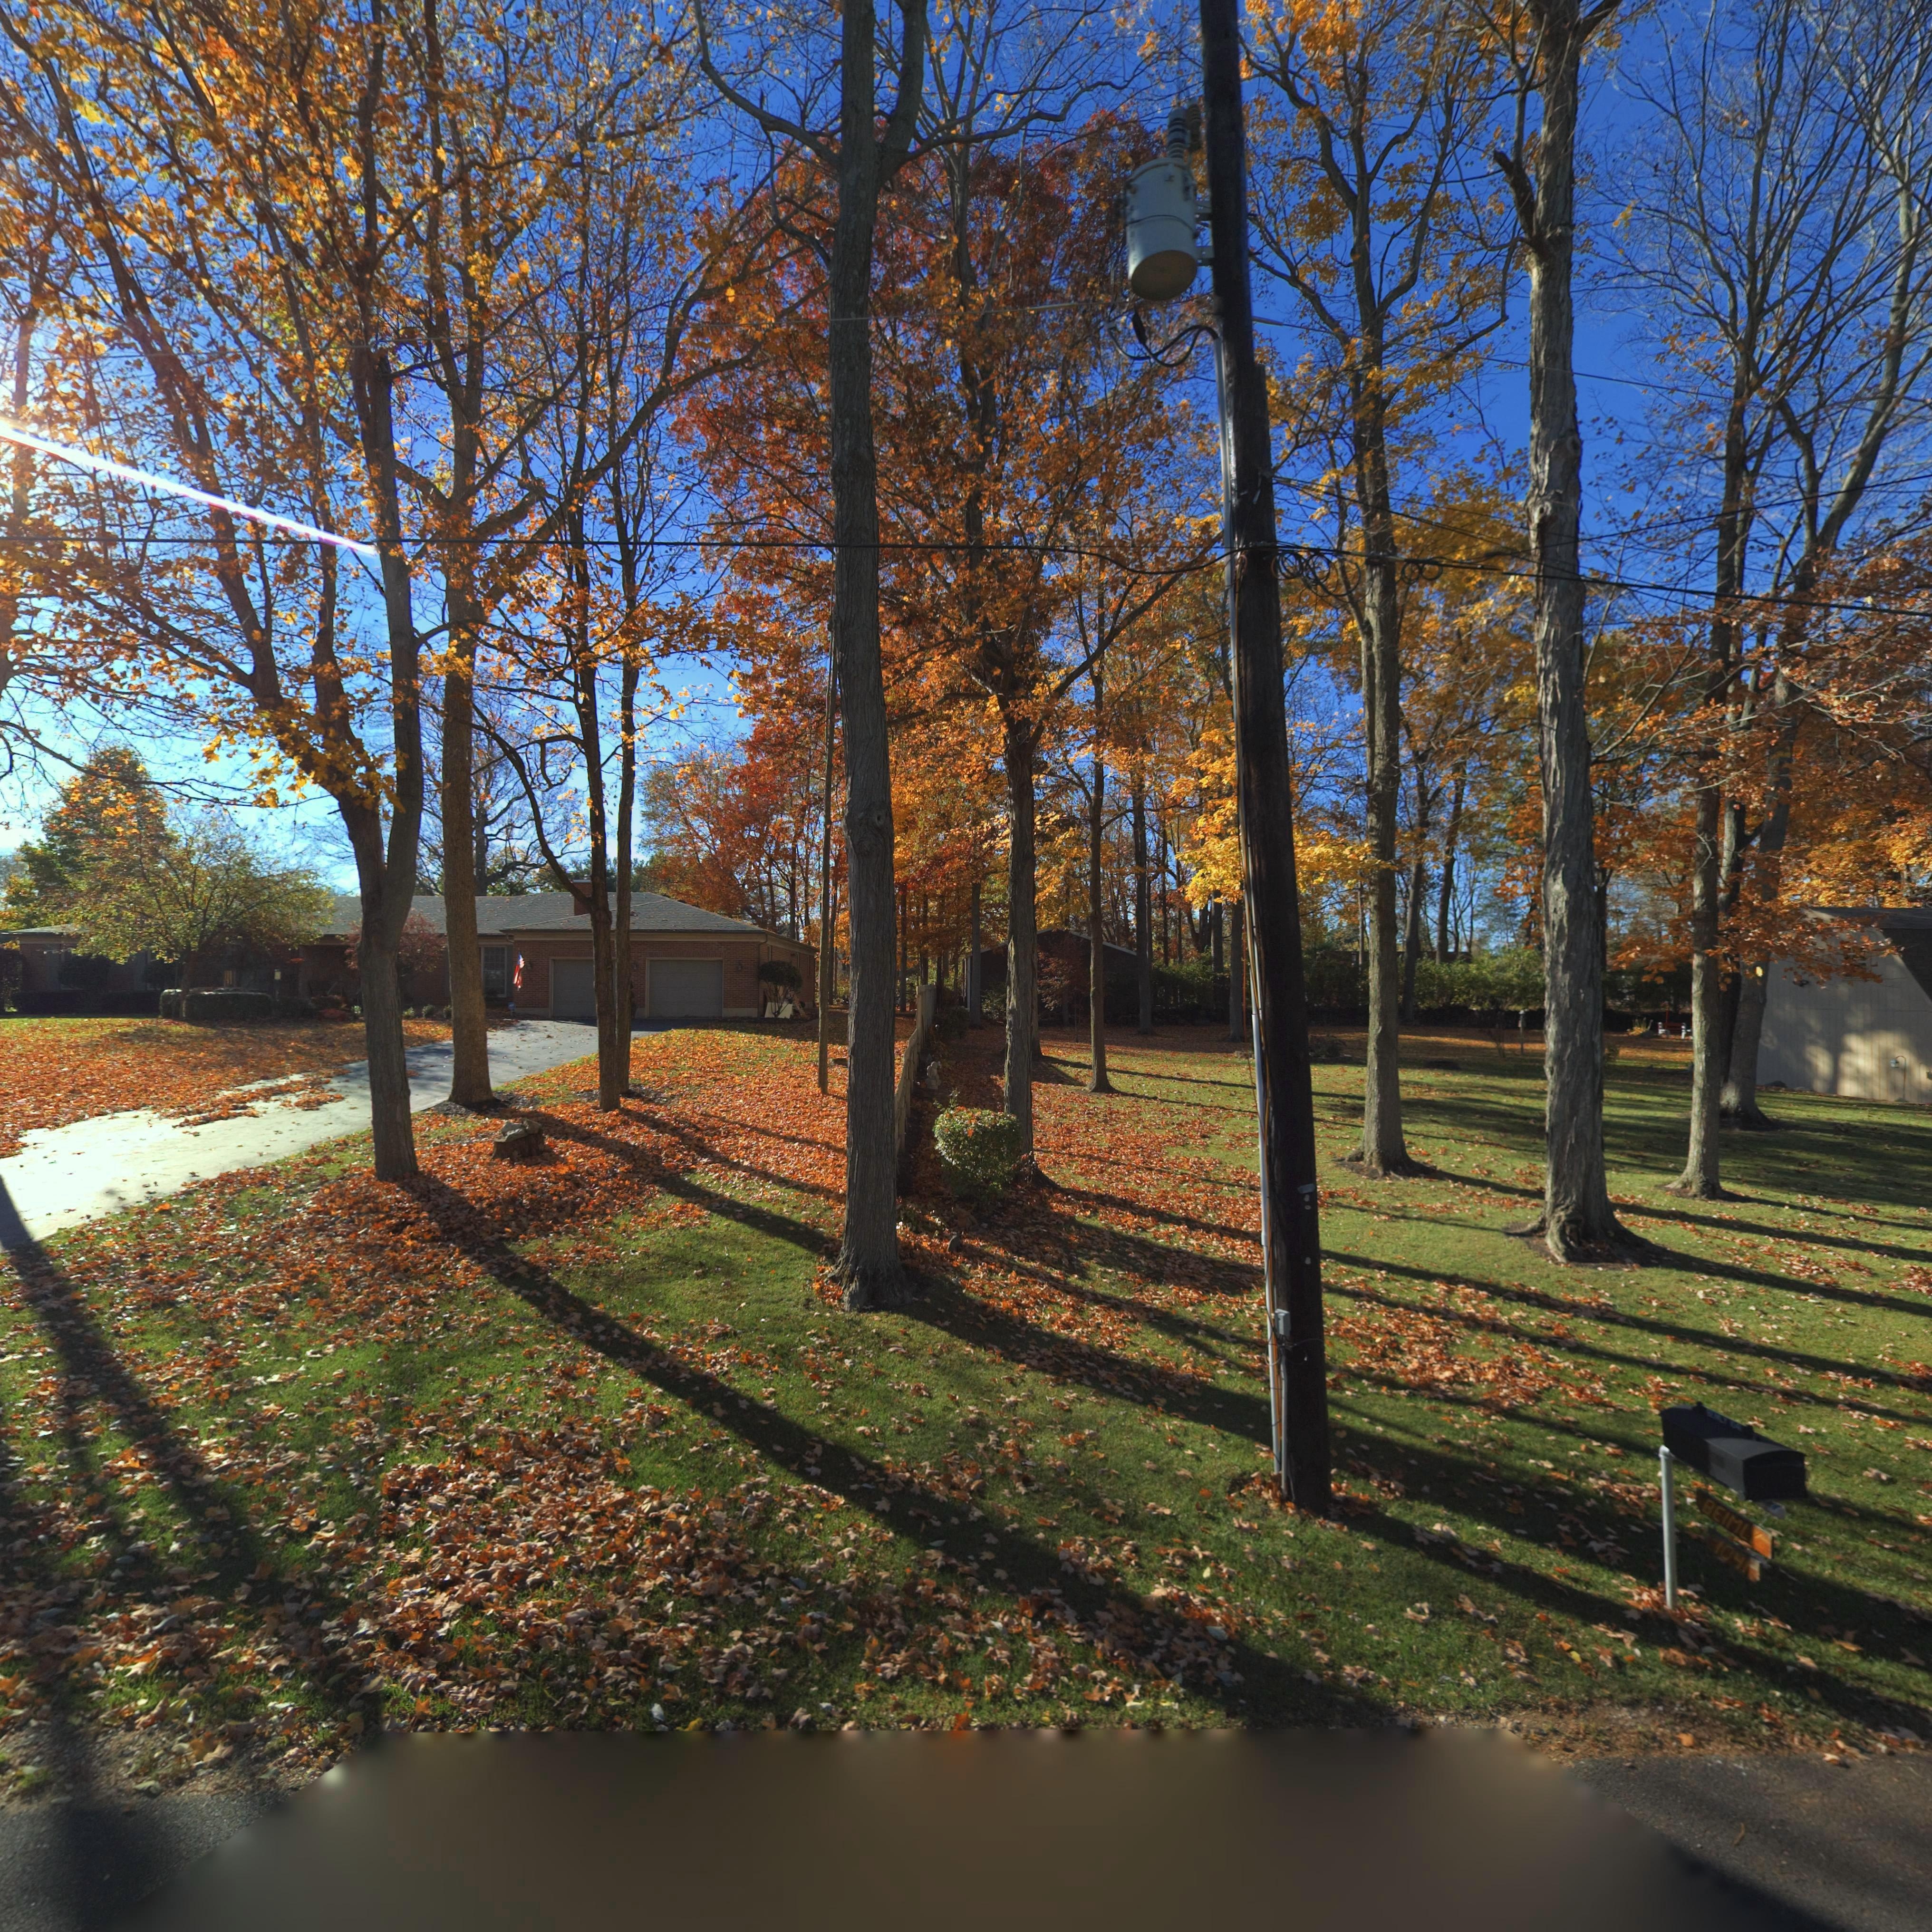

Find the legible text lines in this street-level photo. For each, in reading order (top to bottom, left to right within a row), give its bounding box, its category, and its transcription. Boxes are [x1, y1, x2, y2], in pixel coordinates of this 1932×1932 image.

[1700, 1497, 1752, 1543] None: BEIML
[1710, 1536, 1754, 1575] StreetNumber: 104*